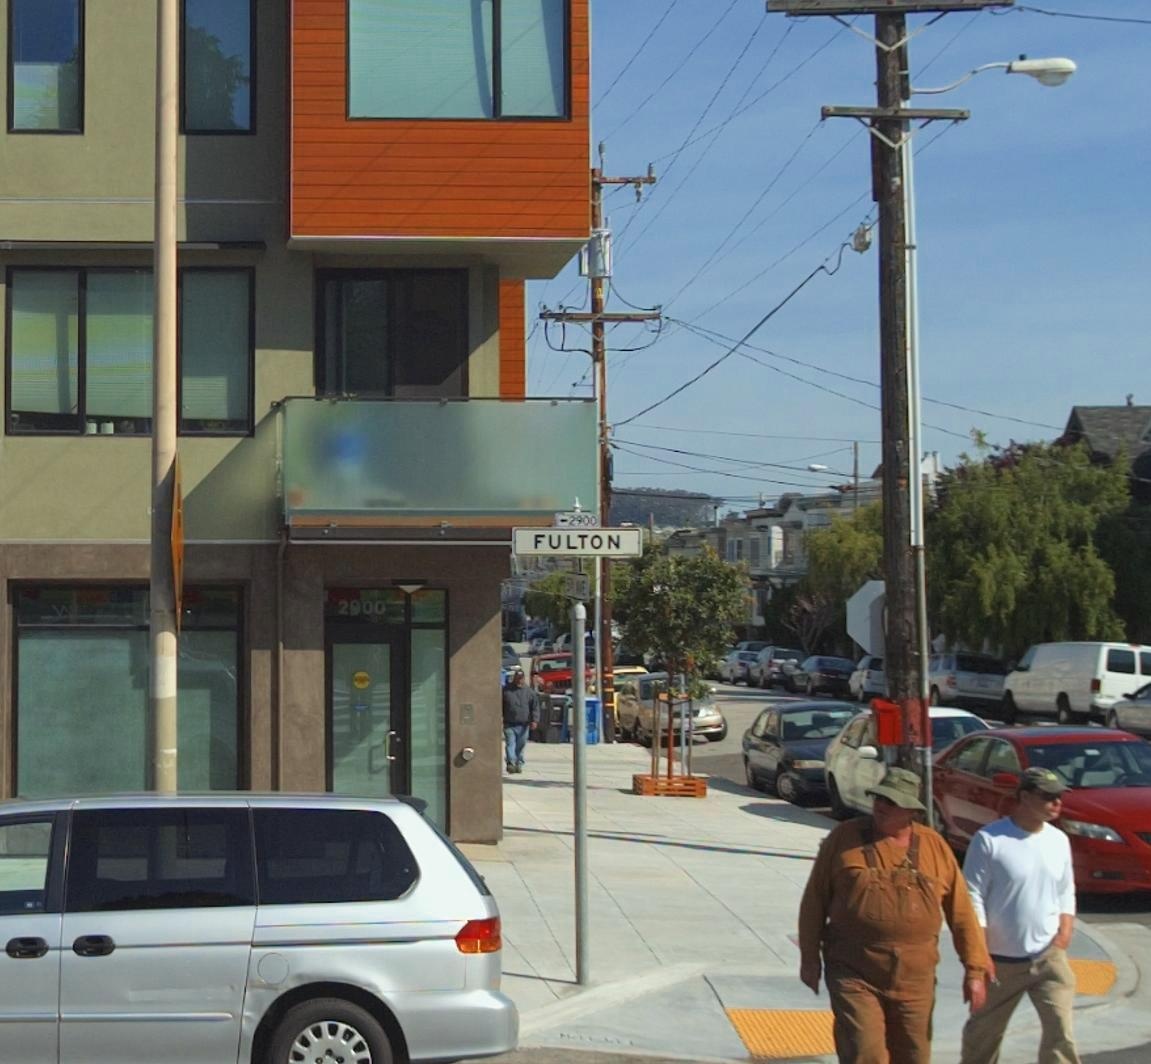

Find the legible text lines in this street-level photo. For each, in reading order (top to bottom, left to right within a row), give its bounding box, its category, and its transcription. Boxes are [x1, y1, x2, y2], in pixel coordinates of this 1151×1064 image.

[554, 512, 597, 528] StreetNumberRange: <-2900
[531, 530, 623, 551] StreetName: FULTON
[48, 599, 82, 620] None: W
[337, 597, 384, 615] StreetNumber: 2900